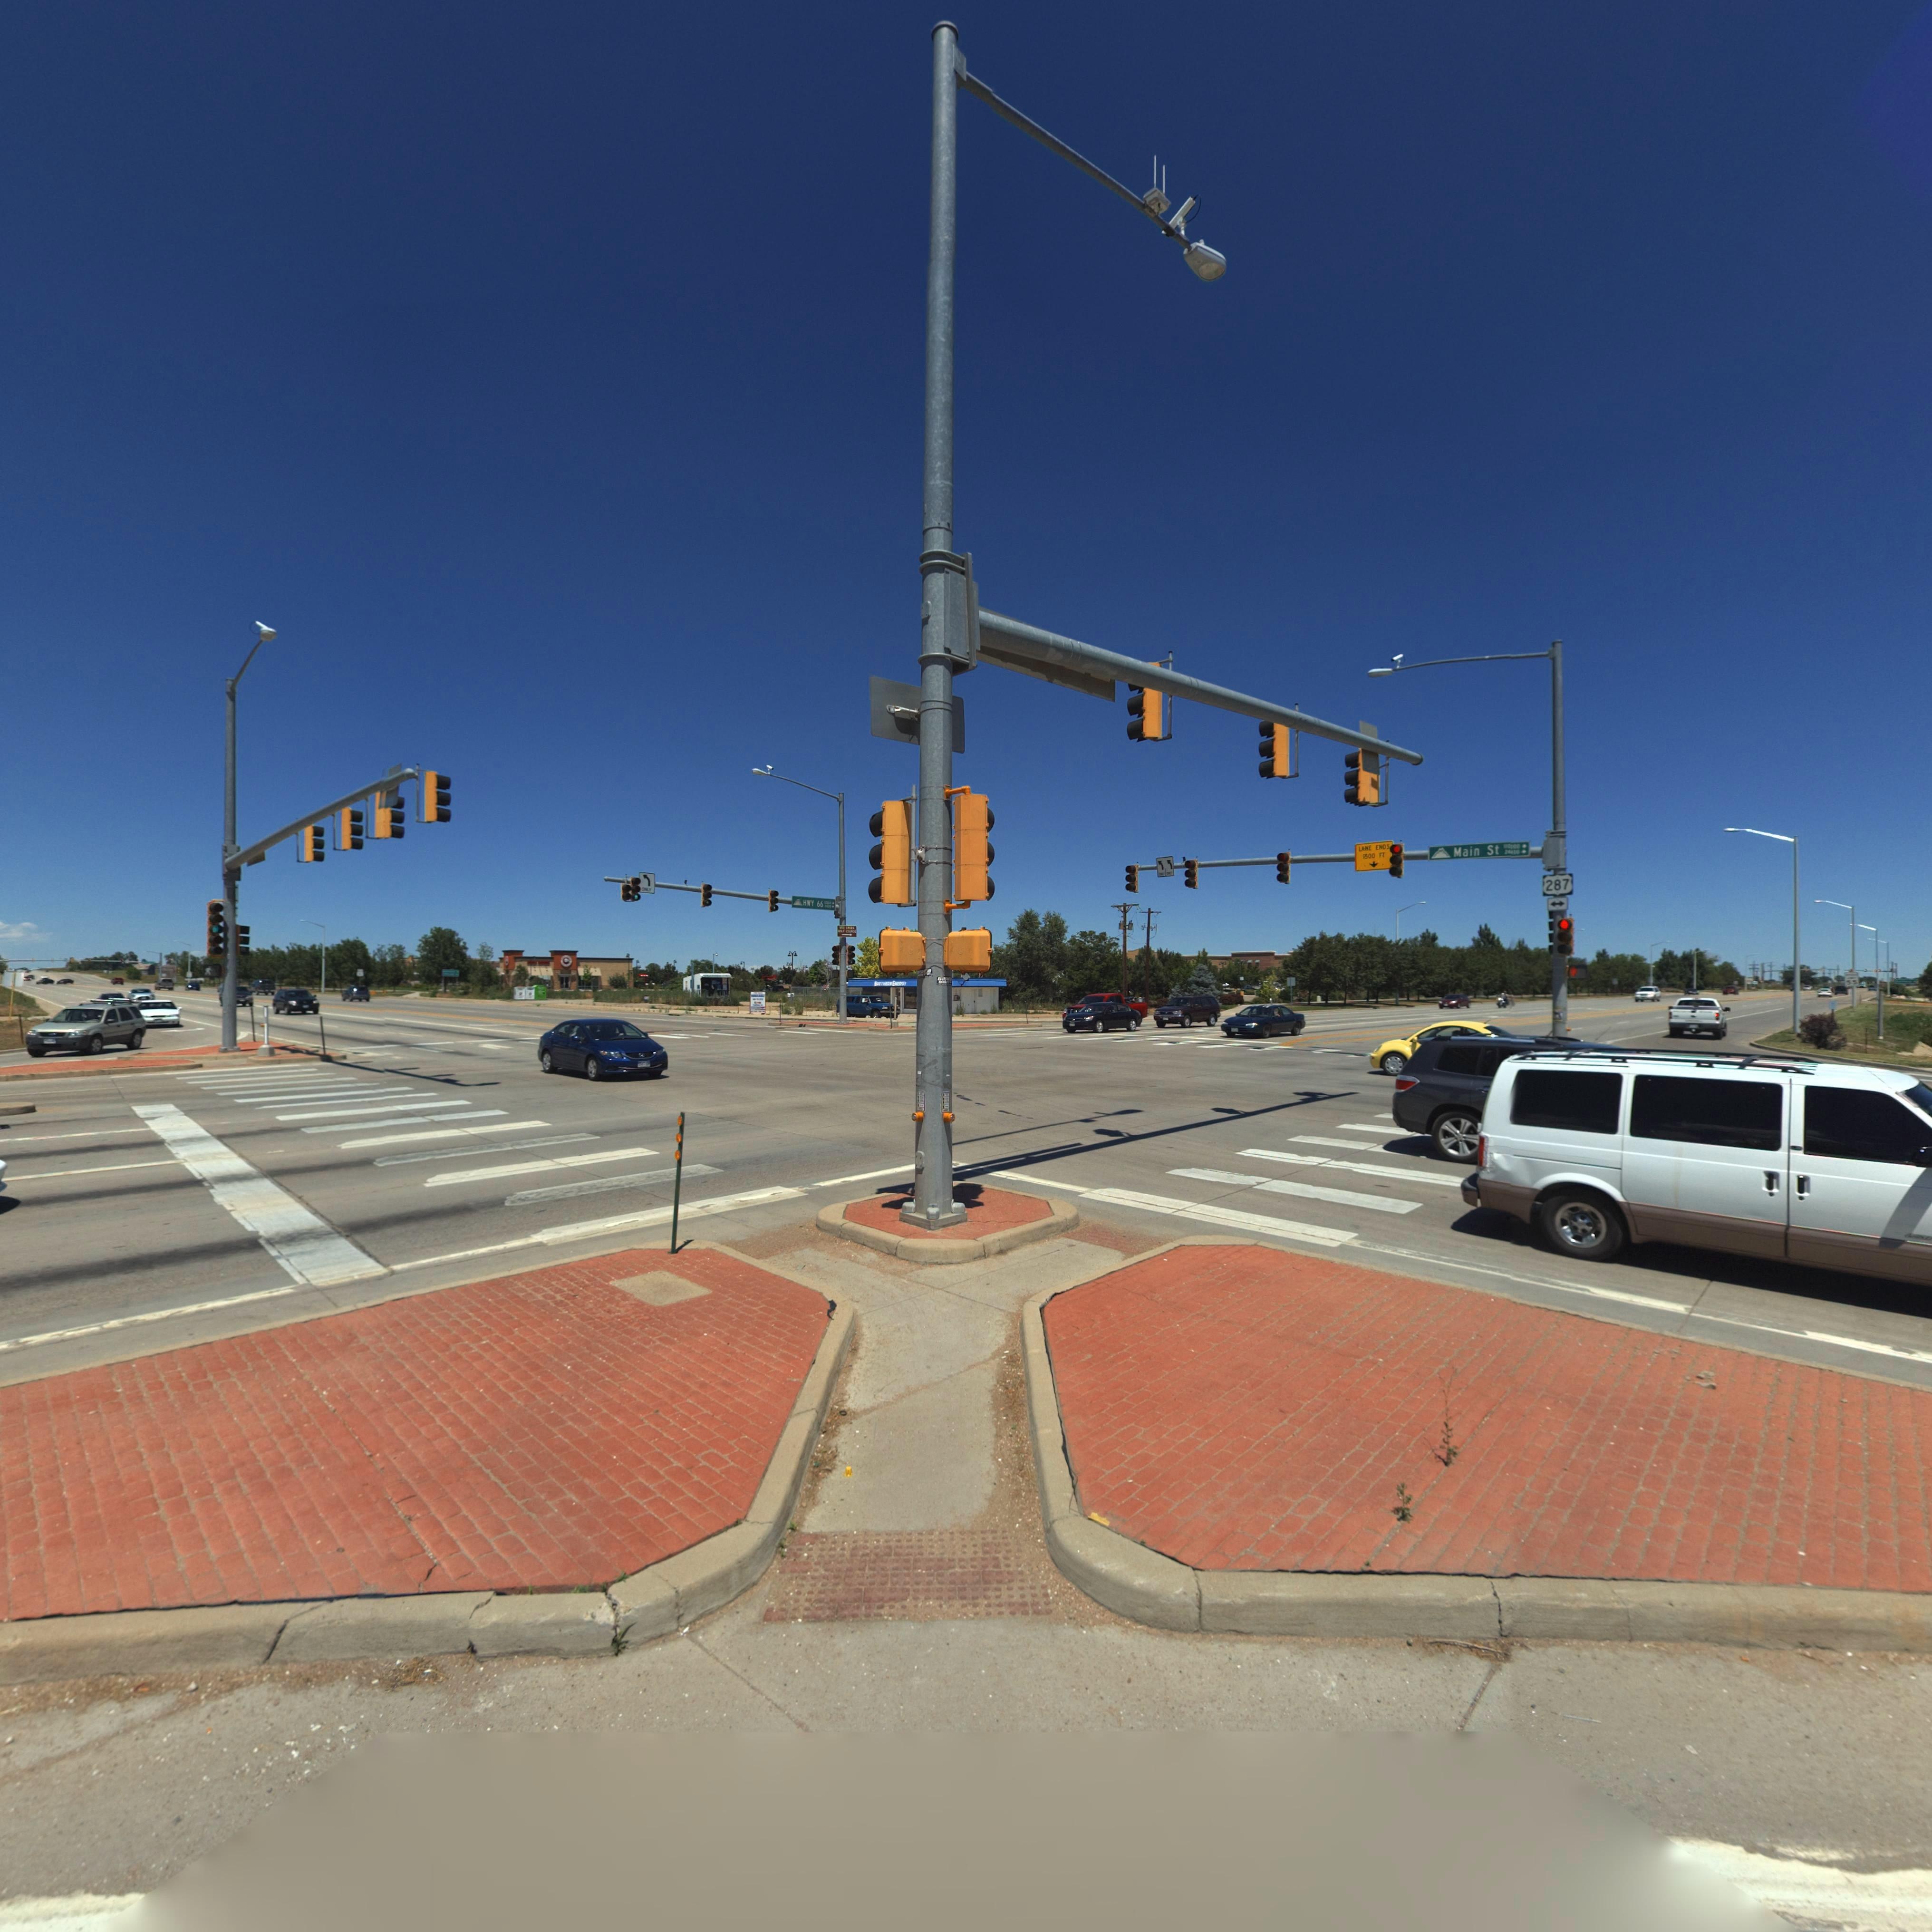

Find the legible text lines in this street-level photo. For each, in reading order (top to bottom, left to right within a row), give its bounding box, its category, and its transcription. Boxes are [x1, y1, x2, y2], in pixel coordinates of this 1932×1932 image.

[1503, 843, 1521, 849] StreetNumberRange: 1*****
[1453, 844, 1499, 857] StreetName: Main St
[1504, 849, 1526, 854] StreetNumberRange: 2*****->
[803, 898, 824, 907] StreetName: HWY 66
[823, 900, 832, 904] StreetNumberRange: **00
[824, 904, 834, 908] StreetNumberRange: 1***->
[873, 980, 907, 986] BusinessName: NORTHERN ENERGY